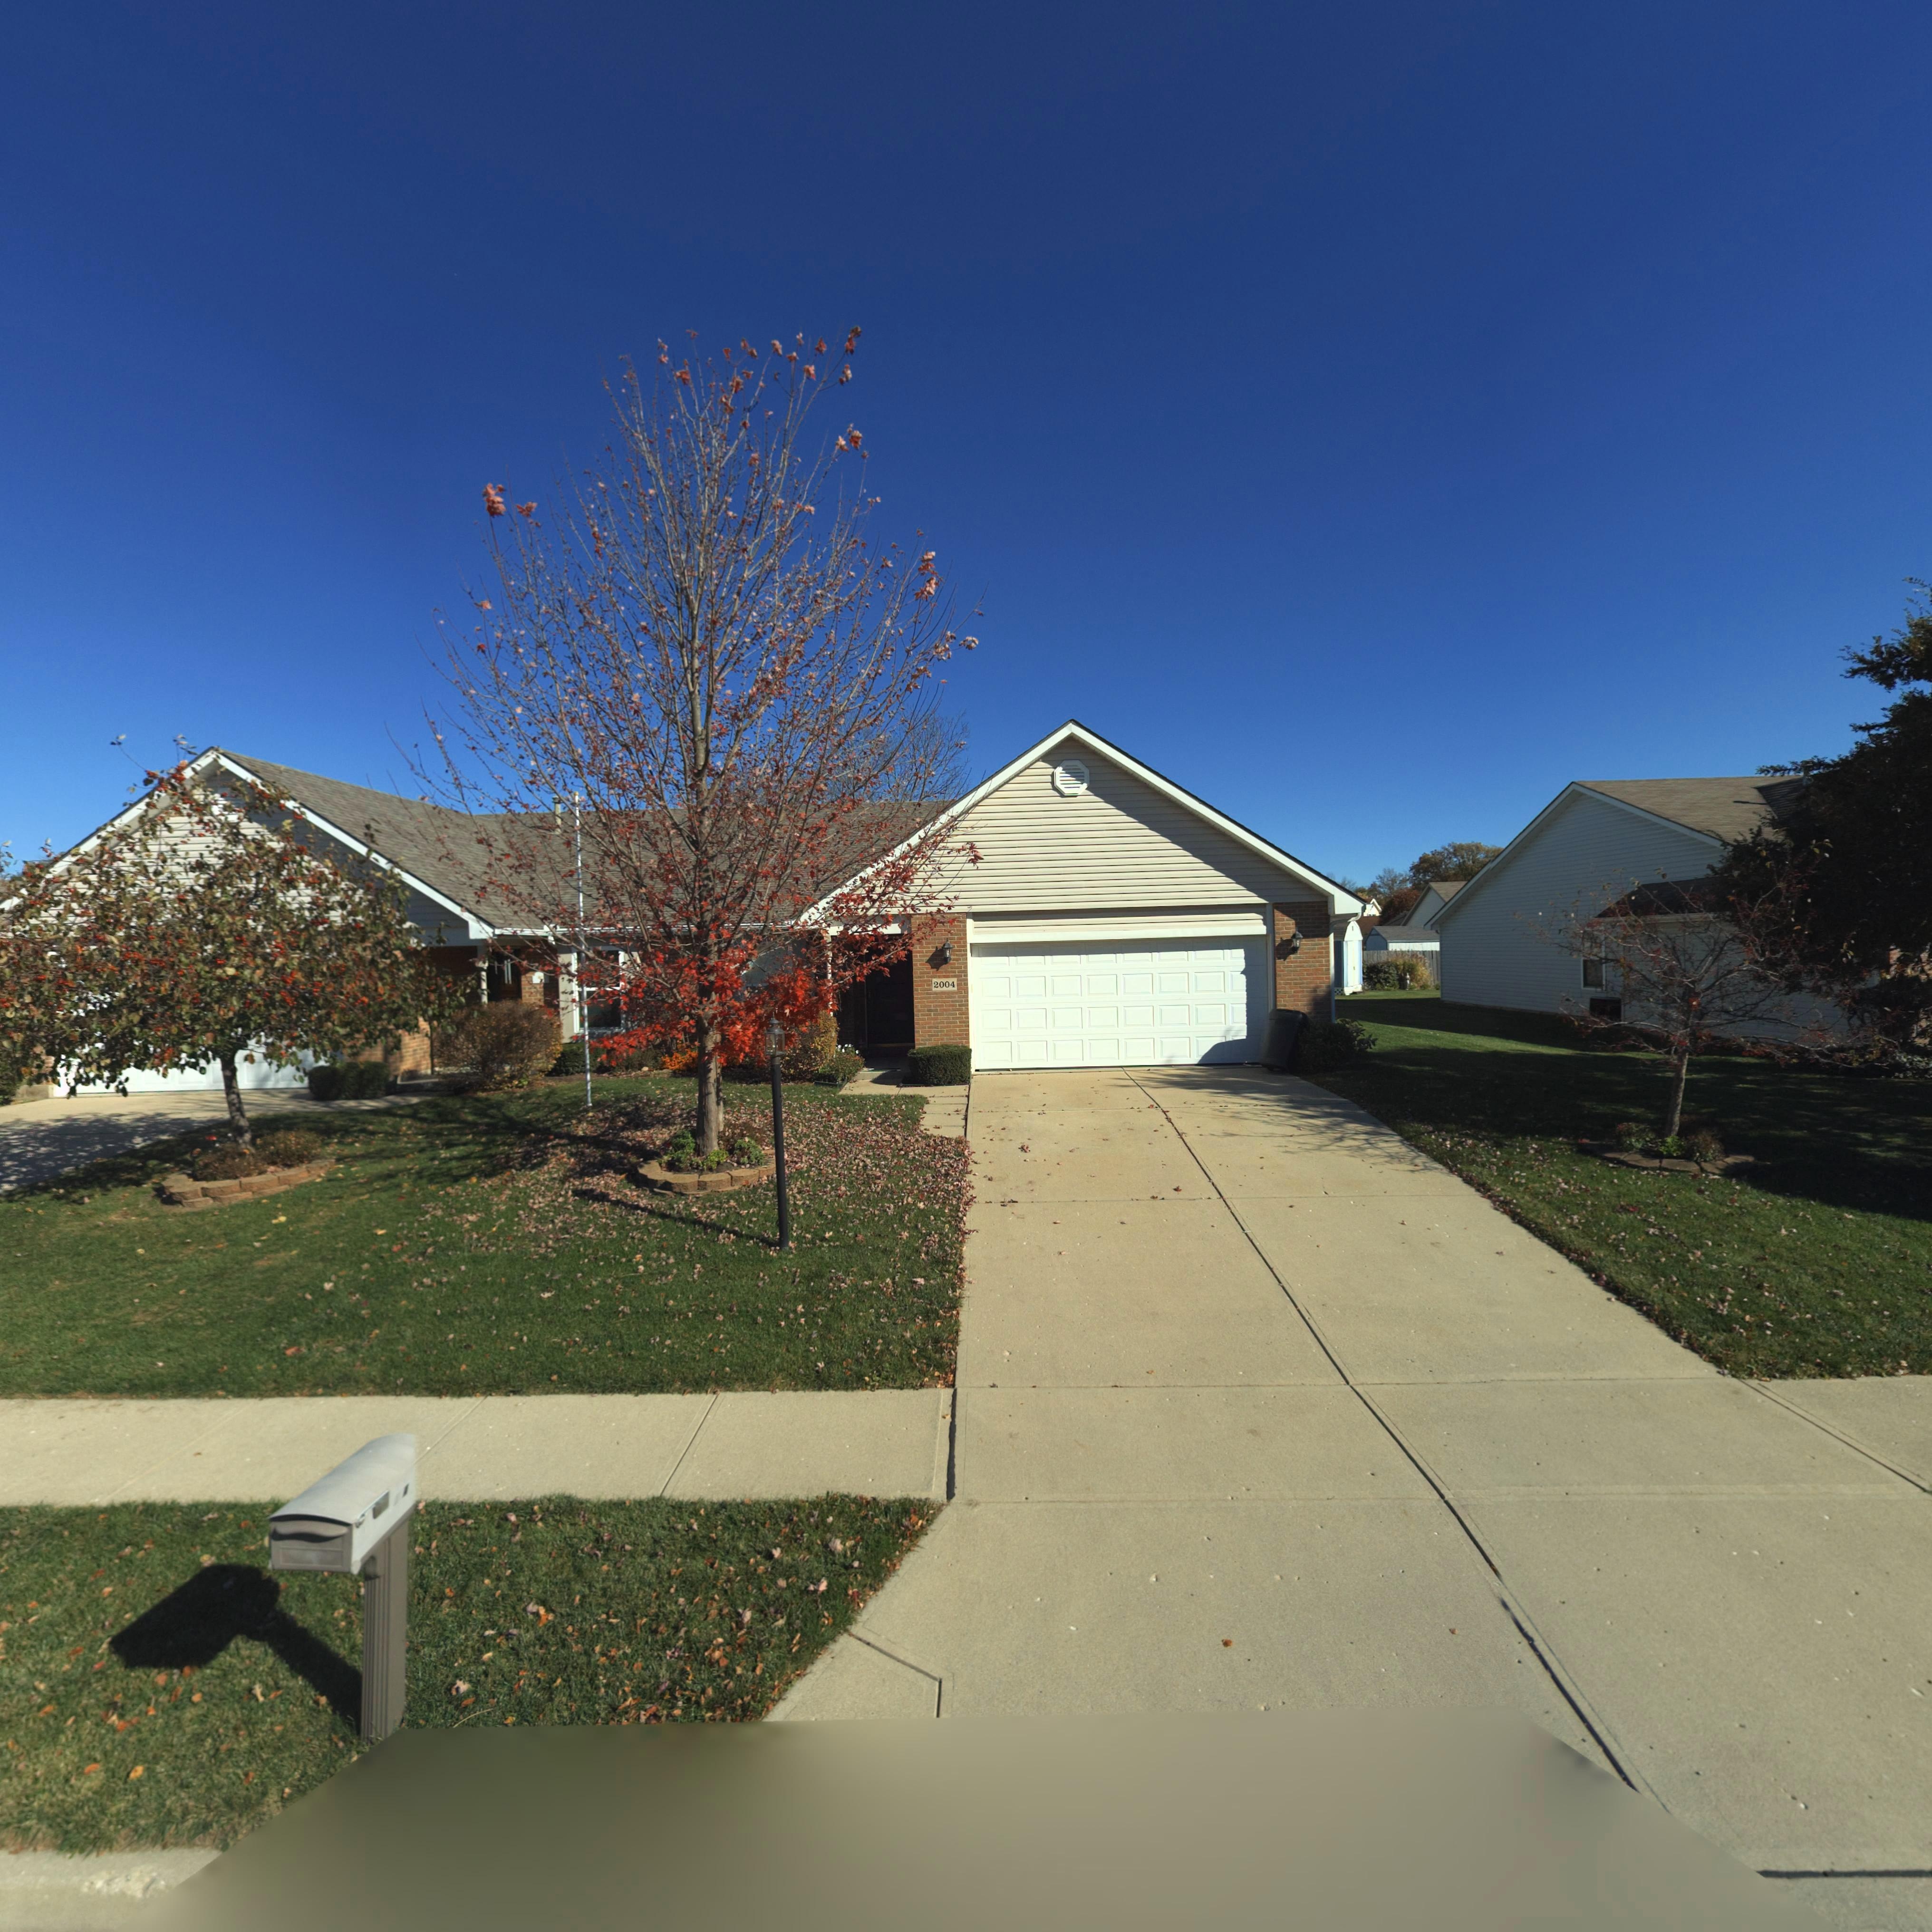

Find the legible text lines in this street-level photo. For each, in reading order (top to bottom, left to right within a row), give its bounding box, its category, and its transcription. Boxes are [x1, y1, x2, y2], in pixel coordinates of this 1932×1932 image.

[933, 980, 956, 989] StreetNumber: 2004